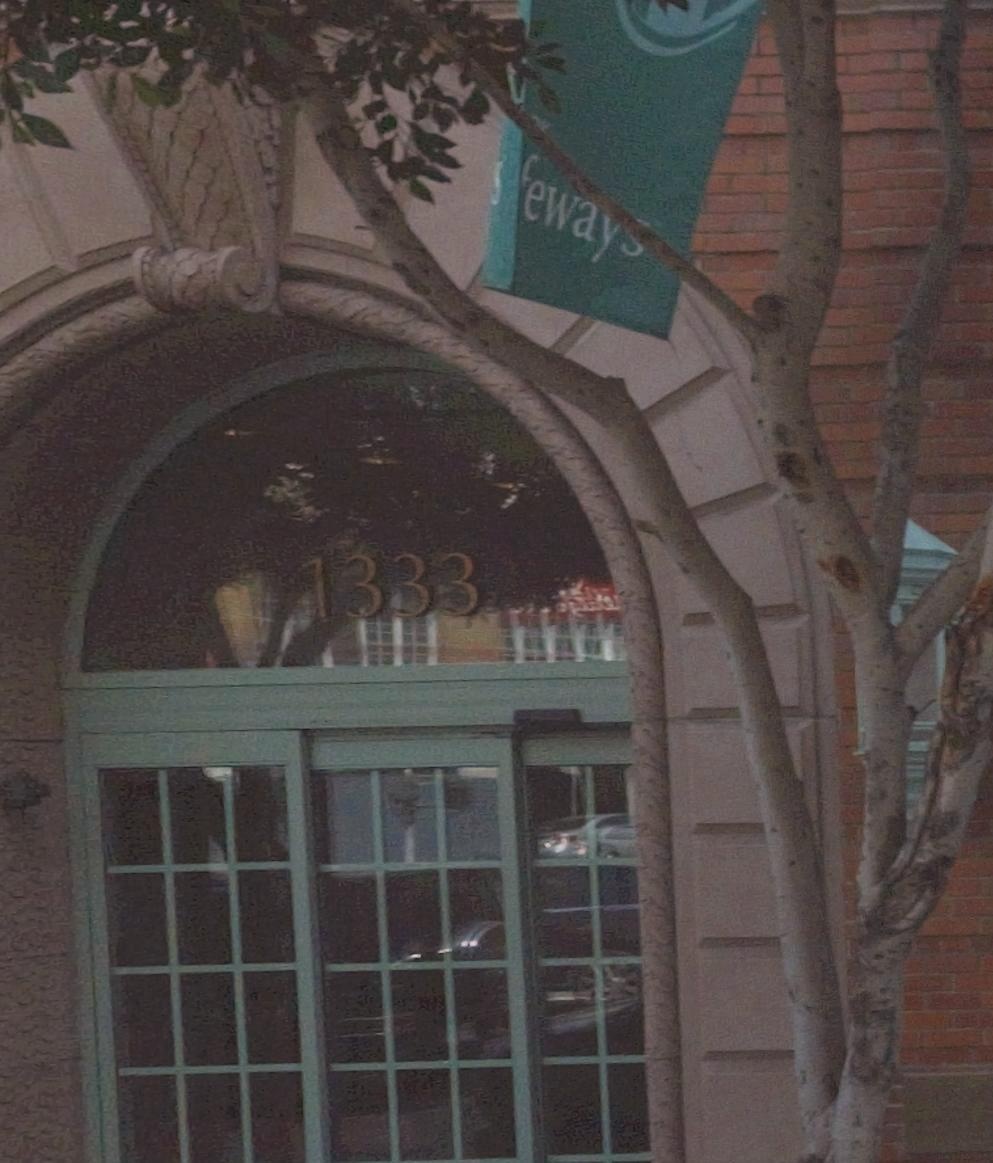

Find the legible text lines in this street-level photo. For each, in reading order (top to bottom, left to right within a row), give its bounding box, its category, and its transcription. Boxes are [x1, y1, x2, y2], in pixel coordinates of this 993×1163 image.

[520, 180, 600, 245] None: ewa
[305, 550, 481, 621] StreetNumber: 1333